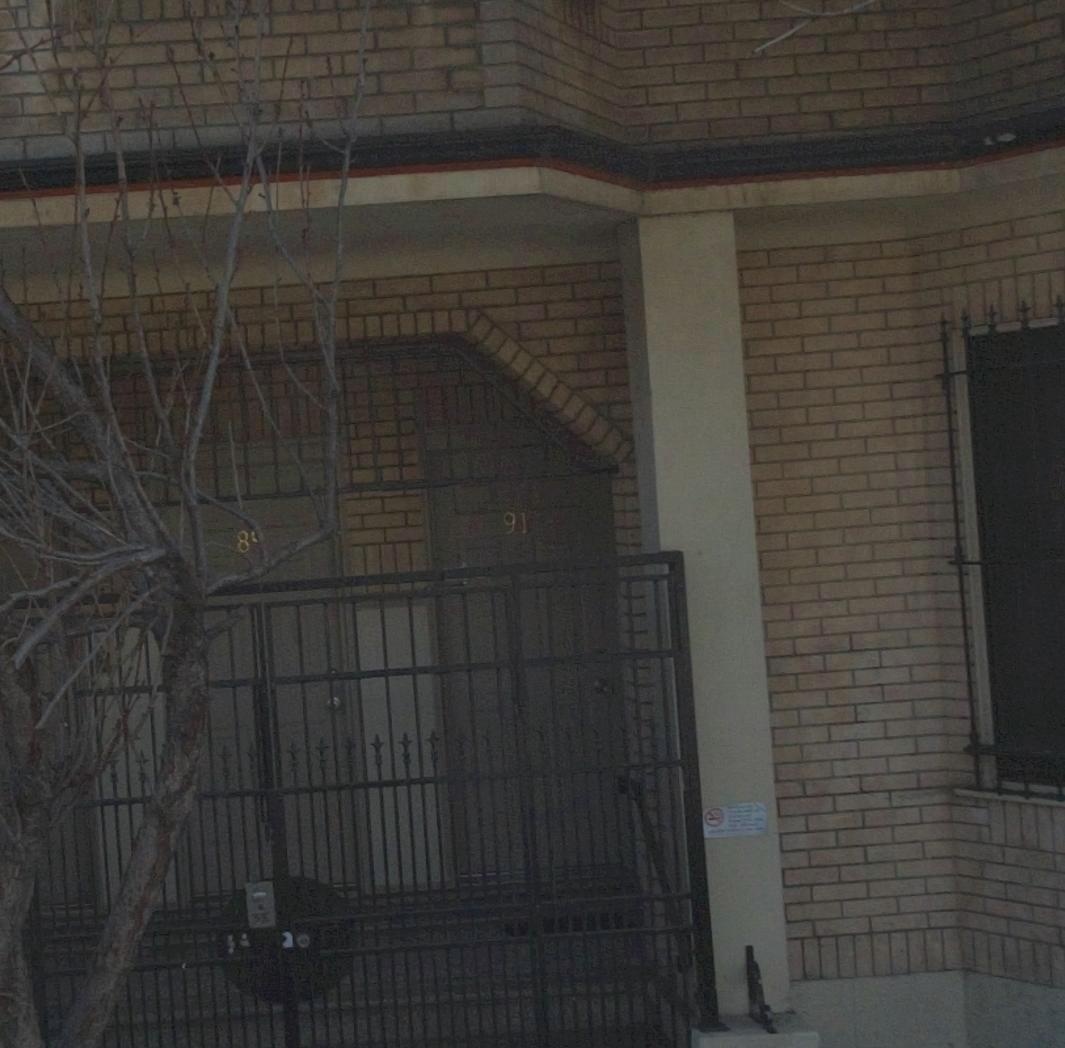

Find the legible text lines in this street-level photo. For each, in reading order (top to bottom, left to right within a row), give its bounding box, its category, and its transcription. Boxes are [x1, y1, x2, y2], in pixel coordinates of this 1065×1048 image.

[500, 509, 532, 540] StreetNumber: 91
[235, 527, 254, 557] StreetNumber: 8